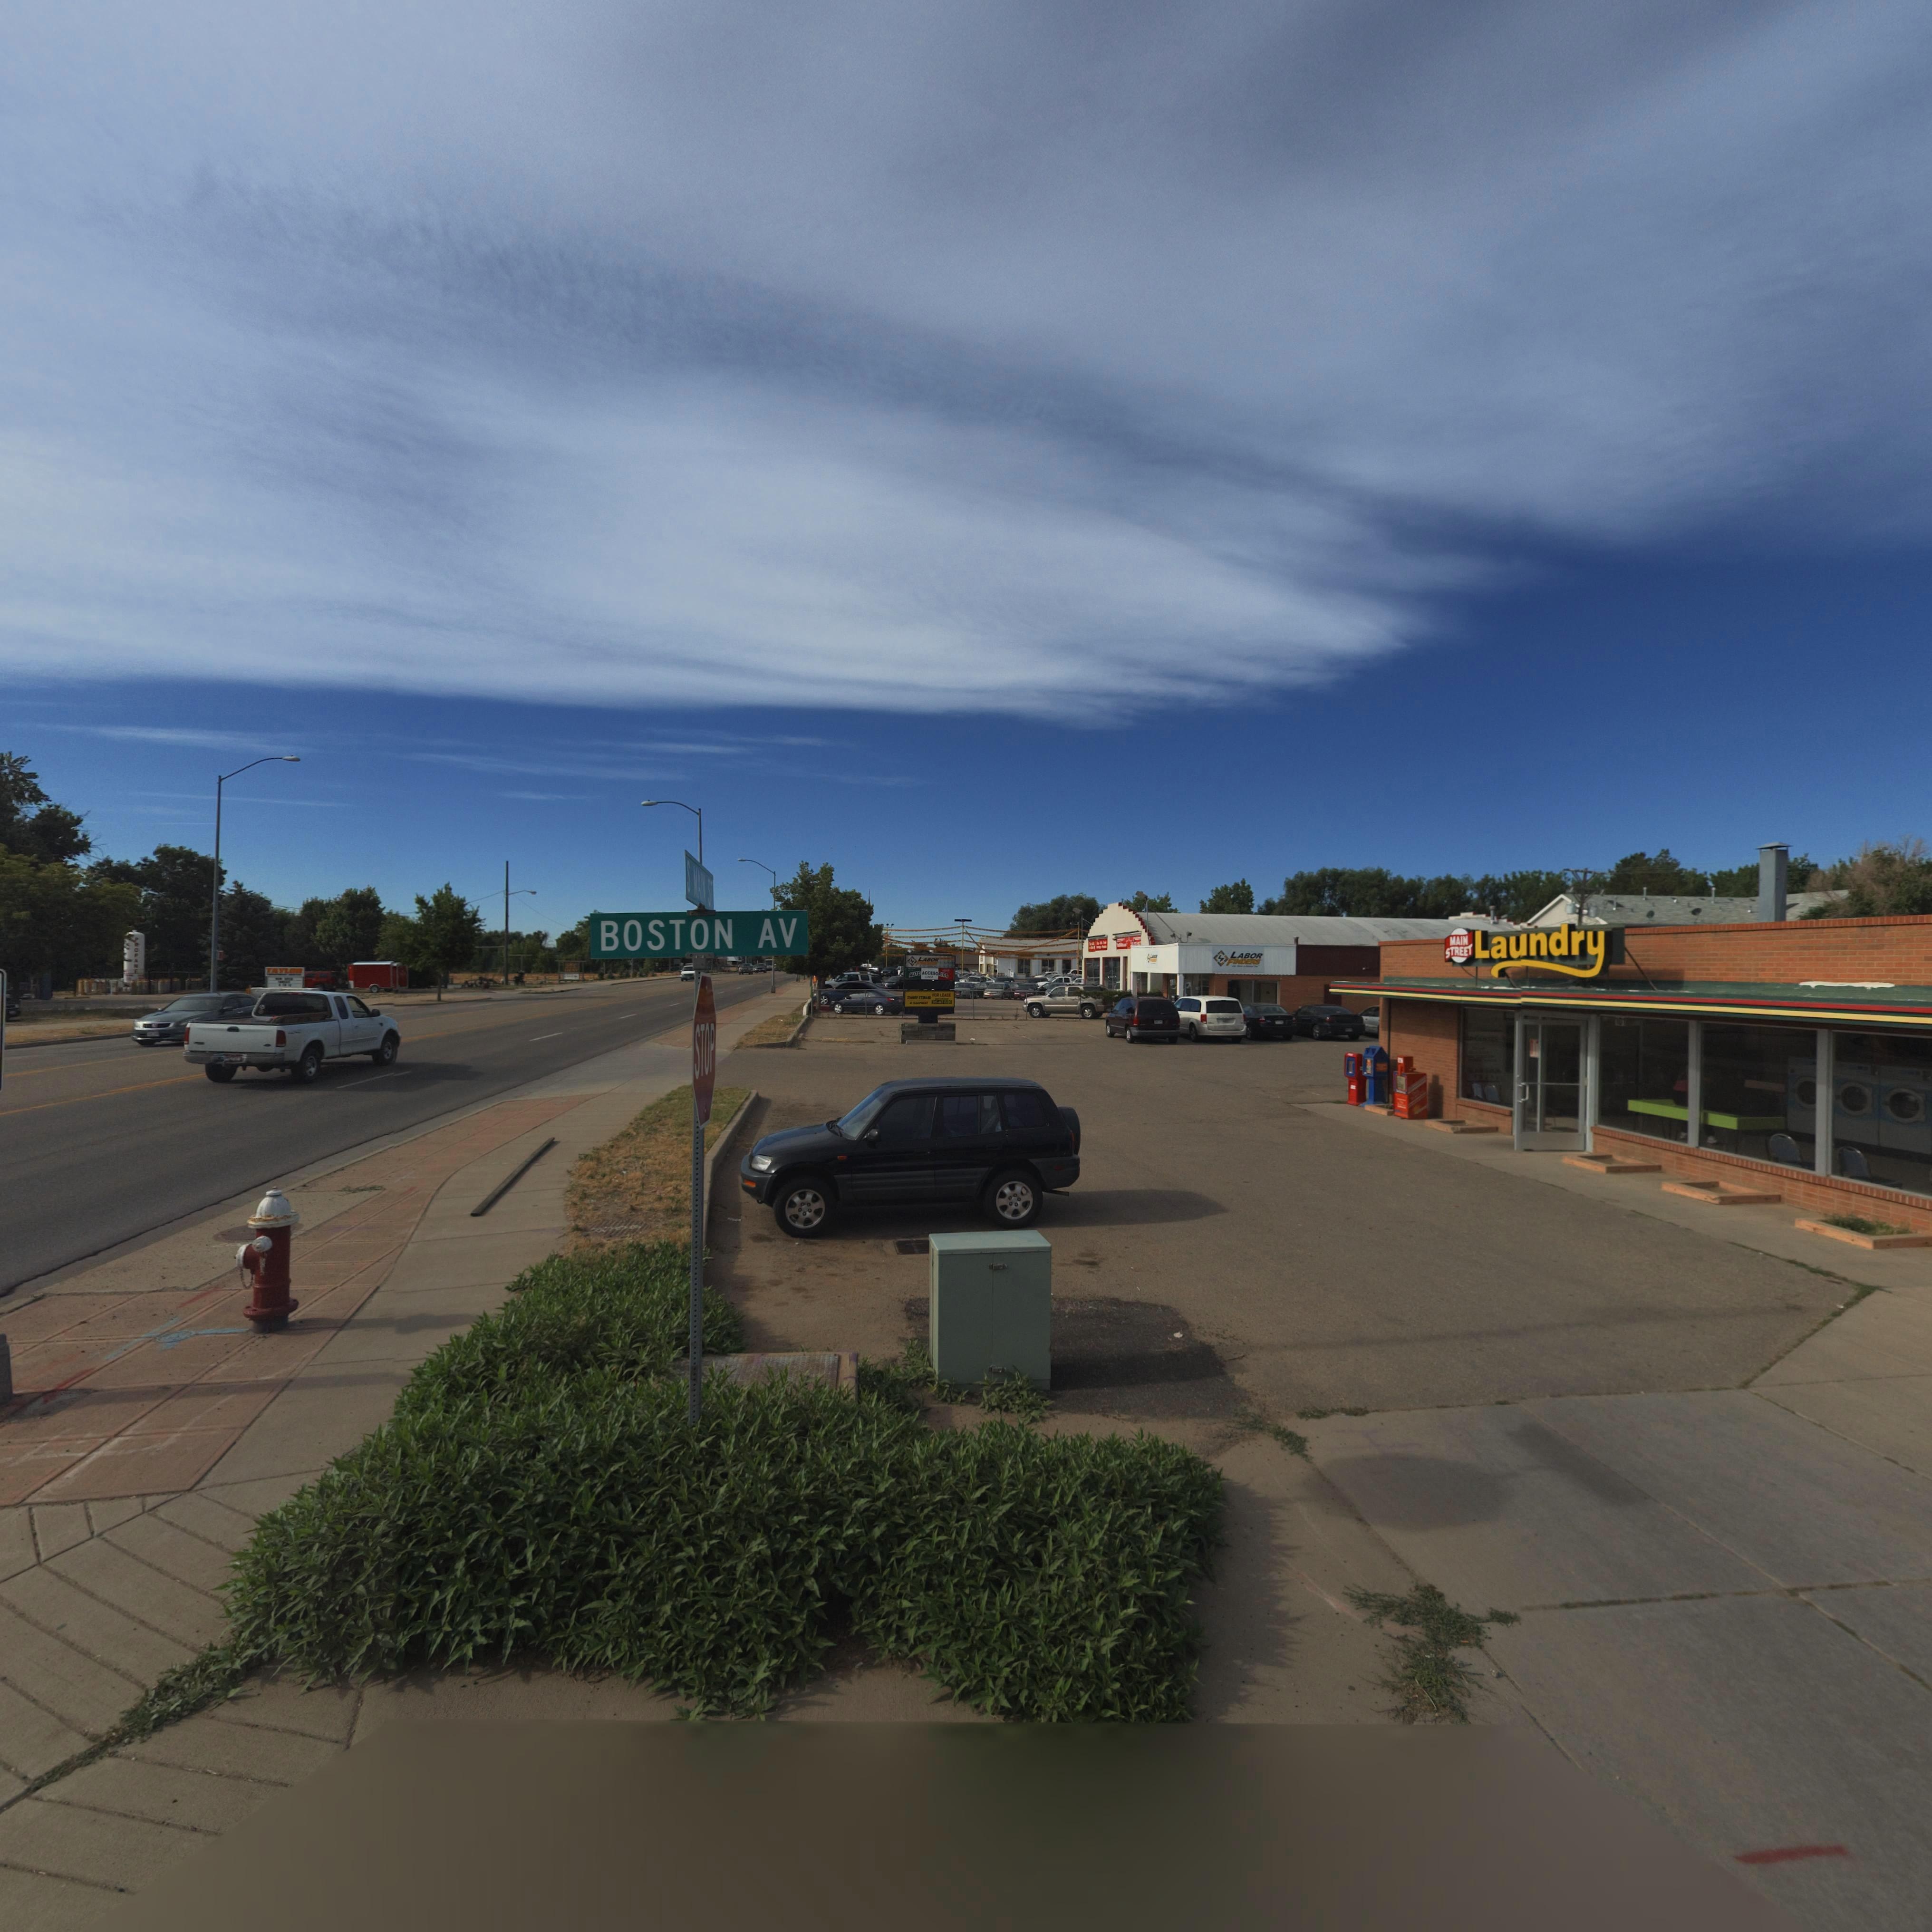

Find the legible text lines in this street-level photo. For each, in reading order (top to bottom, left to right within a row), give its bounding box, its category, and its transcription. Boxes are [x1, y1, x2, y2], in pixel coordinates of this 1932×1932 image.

[686, 859, 713, 908] StreetName: S MAIN S*
[600, 918, 797, 951] StreetName: BOSTON AV
[1449, 935, 1468, 946] BusinessName: MAIN
[1475, 923, 1605, 967] BusinessName: Laundry
[918, 956, 939, 961] BusinessName: LABOR
[1226, 958, 1261, 966] BusinessName: F*NDE*S
[1230, 951, 1263, 958] BusinessName: LABOR
[1445, 943, 1472, 958] BusinessName: STREET
[266, 967, 302, 973] BusinessName: TAYL**
[909, 971, 948, 978] BusinessName: AUTO ACCESORIOS
[1615, 1017, 1626, 1025] StreetNumber: 101